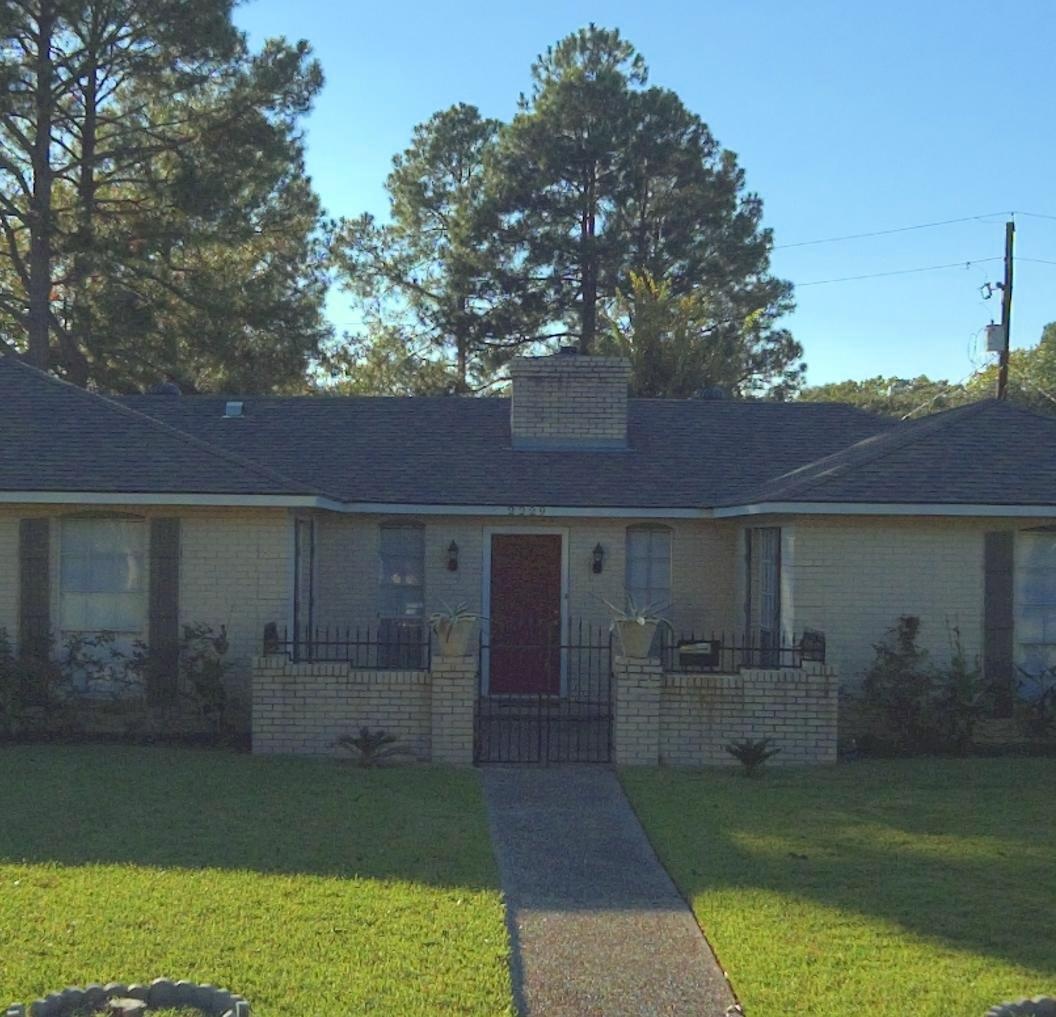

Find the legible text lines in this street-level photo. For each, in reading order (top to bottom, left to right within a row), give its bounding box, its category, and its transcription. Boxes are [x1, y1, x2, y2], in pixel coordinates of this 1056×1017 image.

[506, 505, 547, 516] StreetNumber: 2229